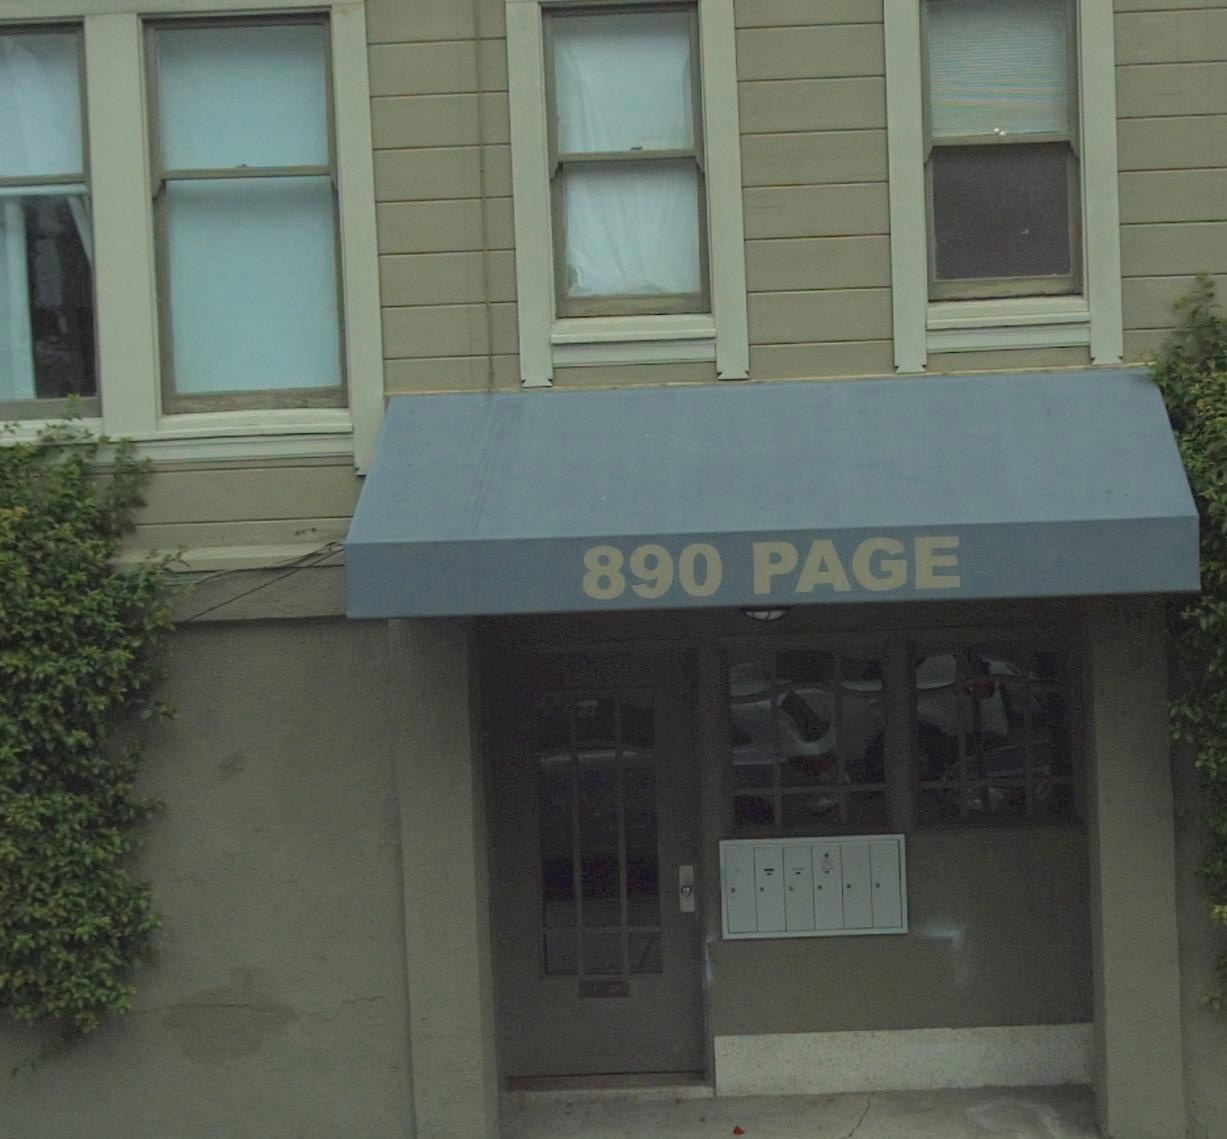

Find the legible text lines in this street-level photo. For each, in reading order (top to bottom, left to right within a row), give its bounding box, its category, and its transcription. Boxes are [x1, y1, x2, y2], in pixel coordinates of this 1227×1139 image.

[579, 538, 726, 604] StreetNumber: 890
[748, 532, 965, 598] StreetName: PAGE